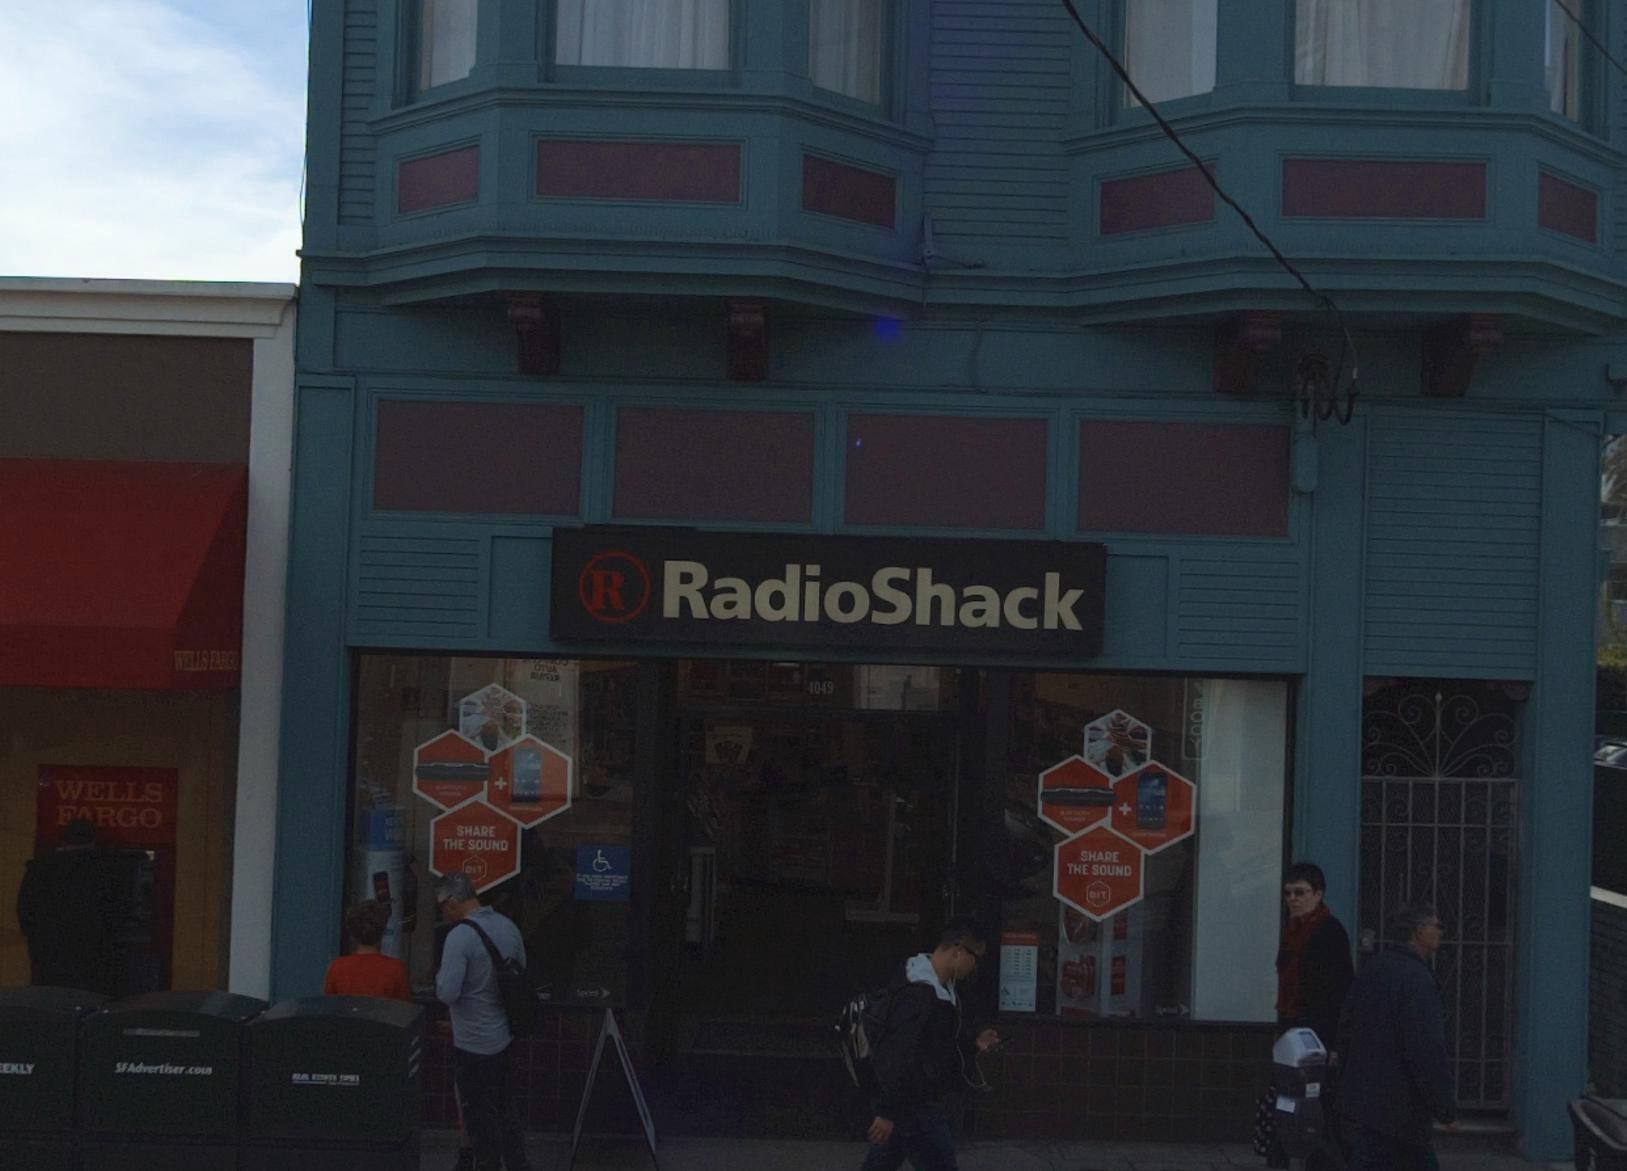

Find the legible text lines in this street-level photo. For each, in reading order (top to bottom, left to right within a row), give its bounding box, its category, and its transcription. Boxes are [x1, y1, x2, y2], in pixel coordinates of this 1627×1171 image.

[590, 568, 627, 611] None: R
[660, 558, 1085, 632] BusinessName: RadioShack
[172, 648, 239, 672] BusinessName: WELLS FARGo
[805, 680, 835, 695] StreetNumber: 4049
[52, 779, 164, 803] BusinessName: WELLS
[54, 805, 163, 829] BusinessName: FARGO
[456, 824, 497, 837] None: SHARE
[442, 838, 509, 852] None: THE SOUND
[1079, 849, 1121, 862] None: SHARE
[1066, 862, 1132, 877] None: THE SOUND
[2, 1061, 38, 1075] BusinessName: EKLY
[114, 1060, 212, 1077] None: SFAdvertiser.com